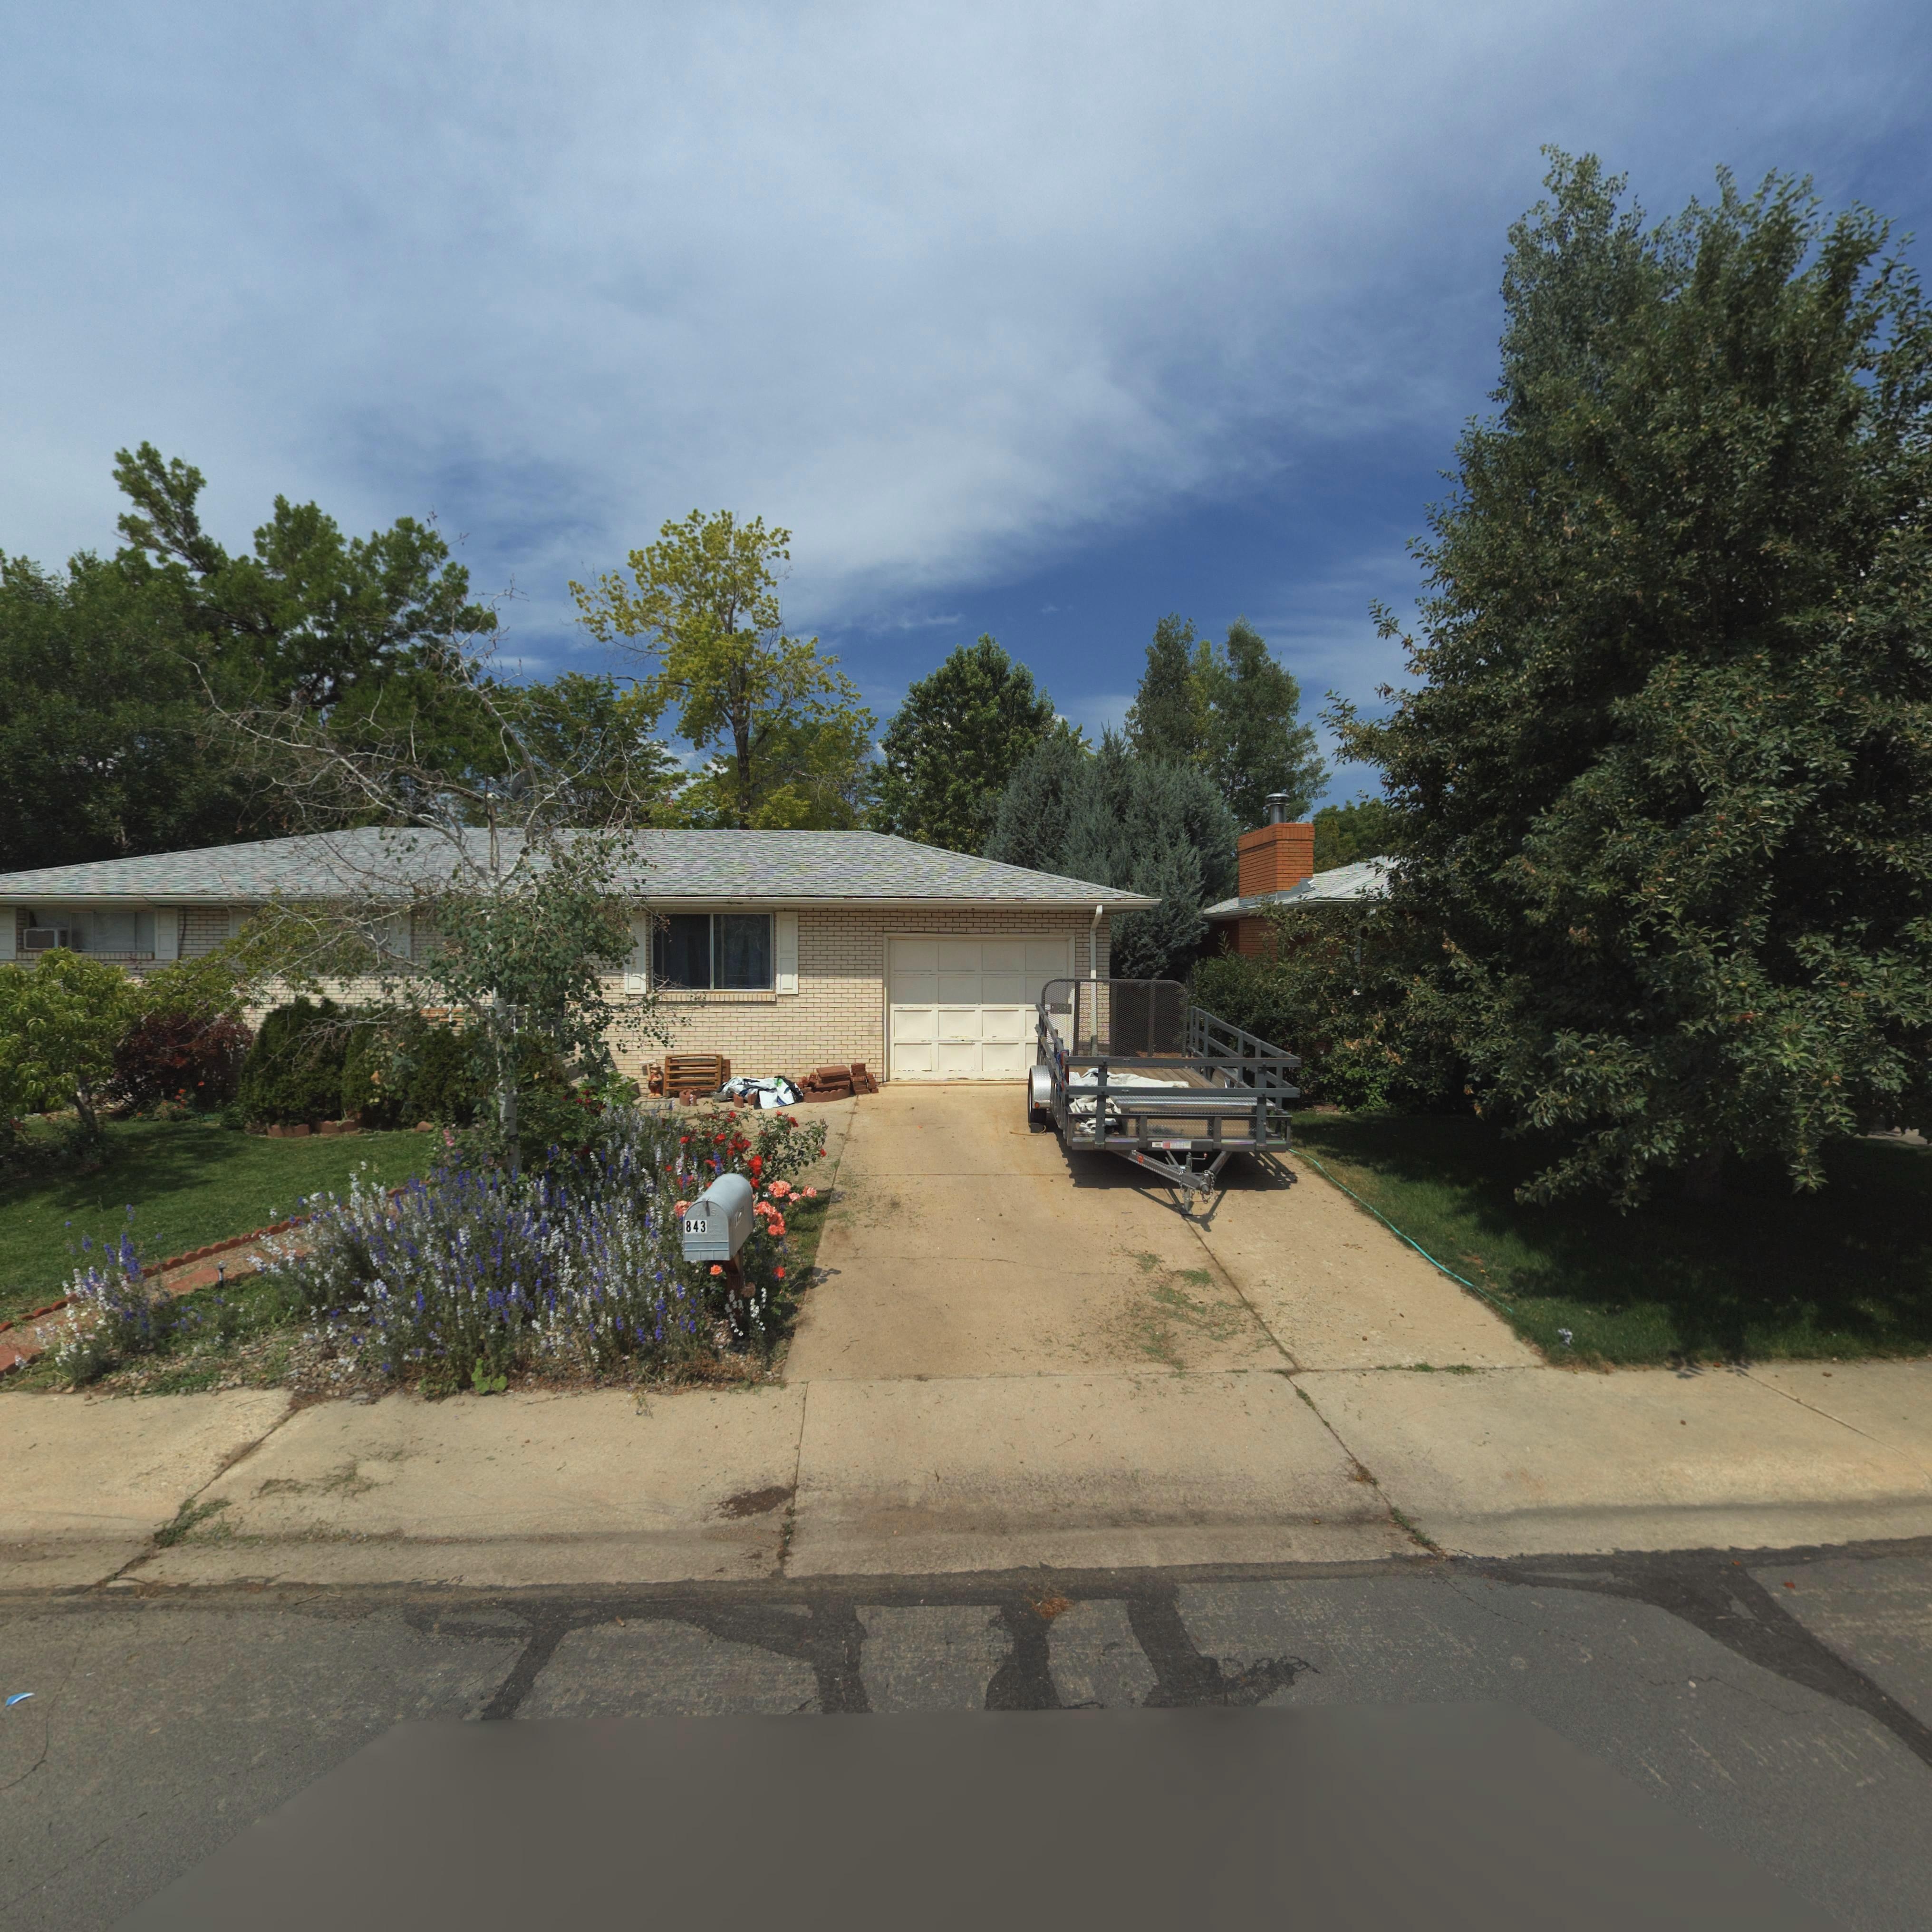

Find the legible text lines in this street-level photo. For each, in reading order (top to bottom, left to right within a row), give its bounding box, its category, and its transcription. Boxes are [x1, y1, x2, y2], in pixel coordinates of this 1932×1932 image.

[685, 1220, 705, 1233] StreetNumber: 843
[733, 1211, 741, 1227] StreetNumber: 84*